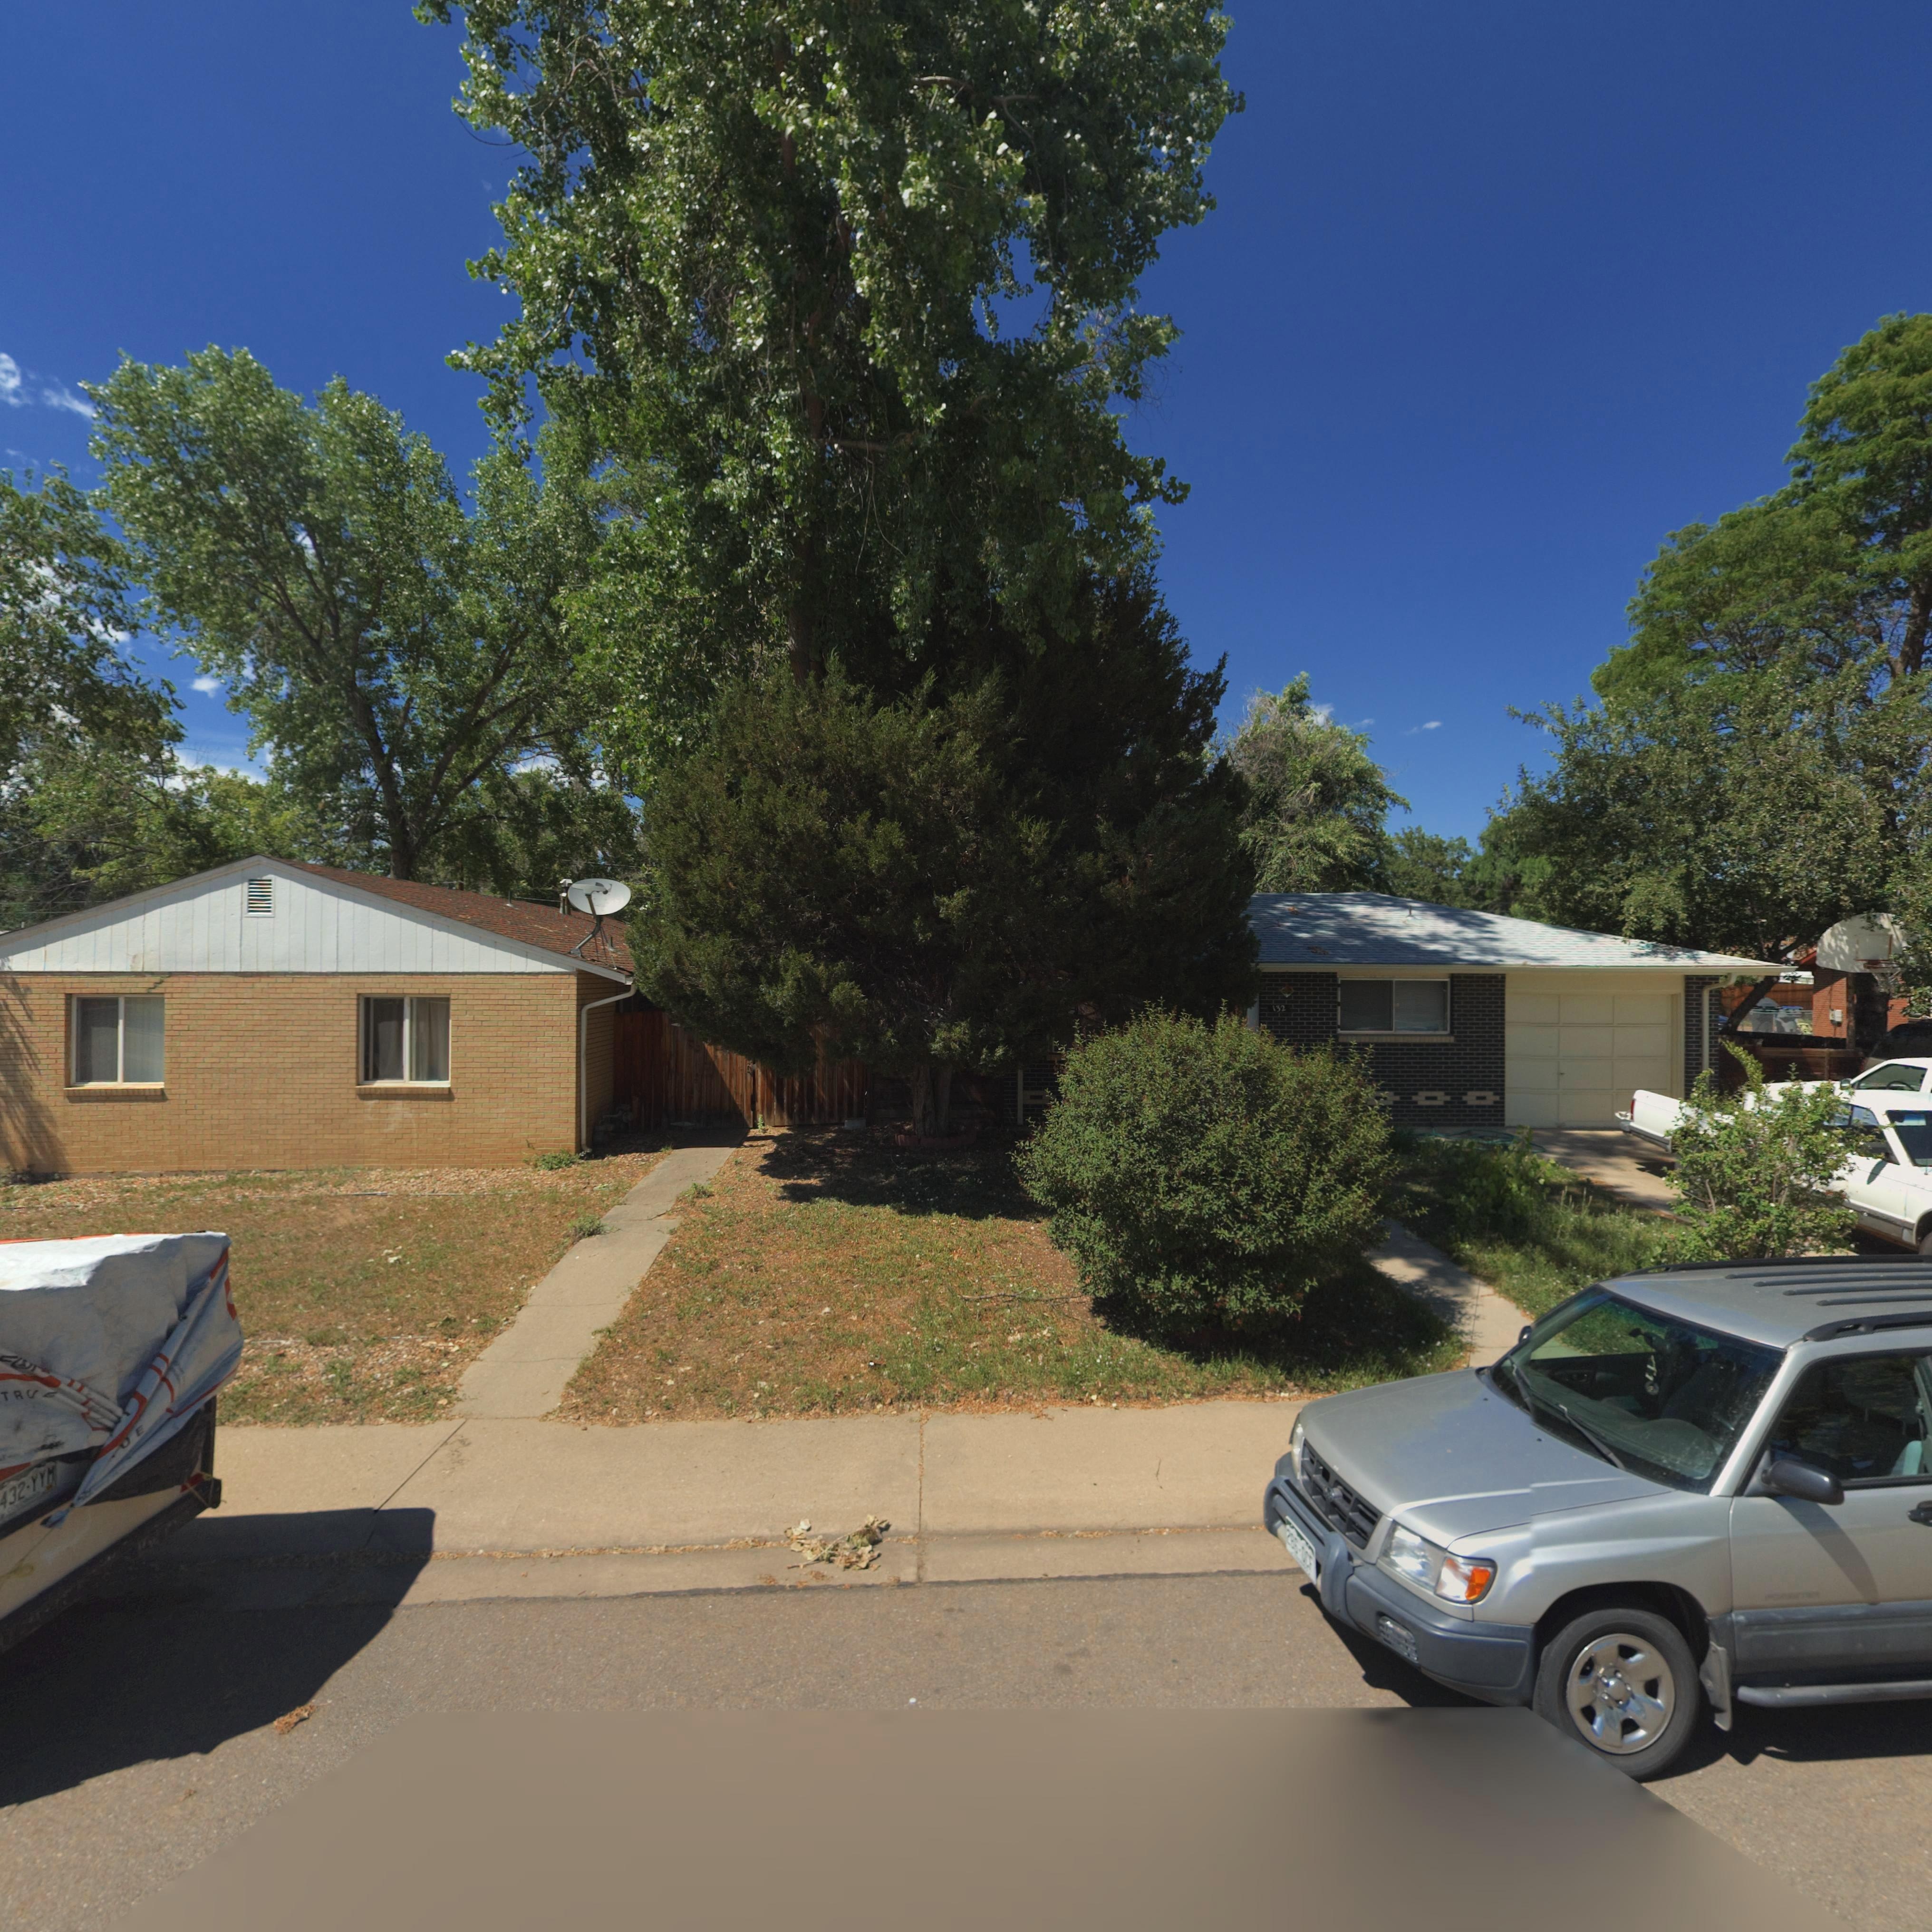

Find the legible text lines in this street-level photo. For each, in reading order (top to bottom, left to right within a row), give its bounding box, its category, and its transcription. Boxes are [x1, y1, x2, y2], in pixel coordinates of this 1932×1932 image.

[1271, 1005, 1286, 1012] StreetNumber: 132